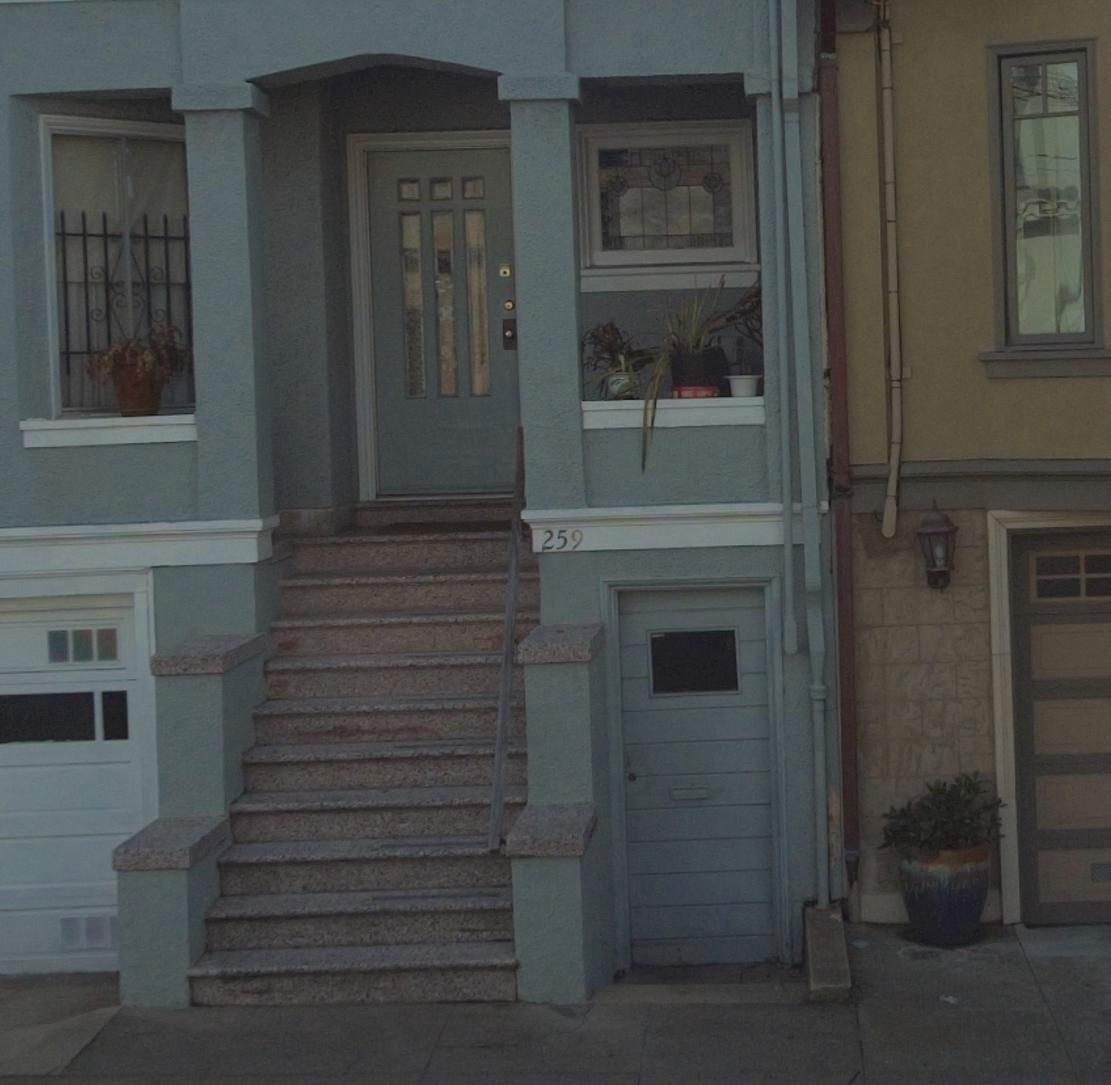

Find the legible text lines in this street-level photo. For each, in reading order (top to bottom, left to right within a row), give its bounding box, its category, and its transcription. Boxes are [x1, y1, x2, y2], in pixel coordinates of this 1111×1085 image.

[539, 528, 586, 551] StreetNumber: 259